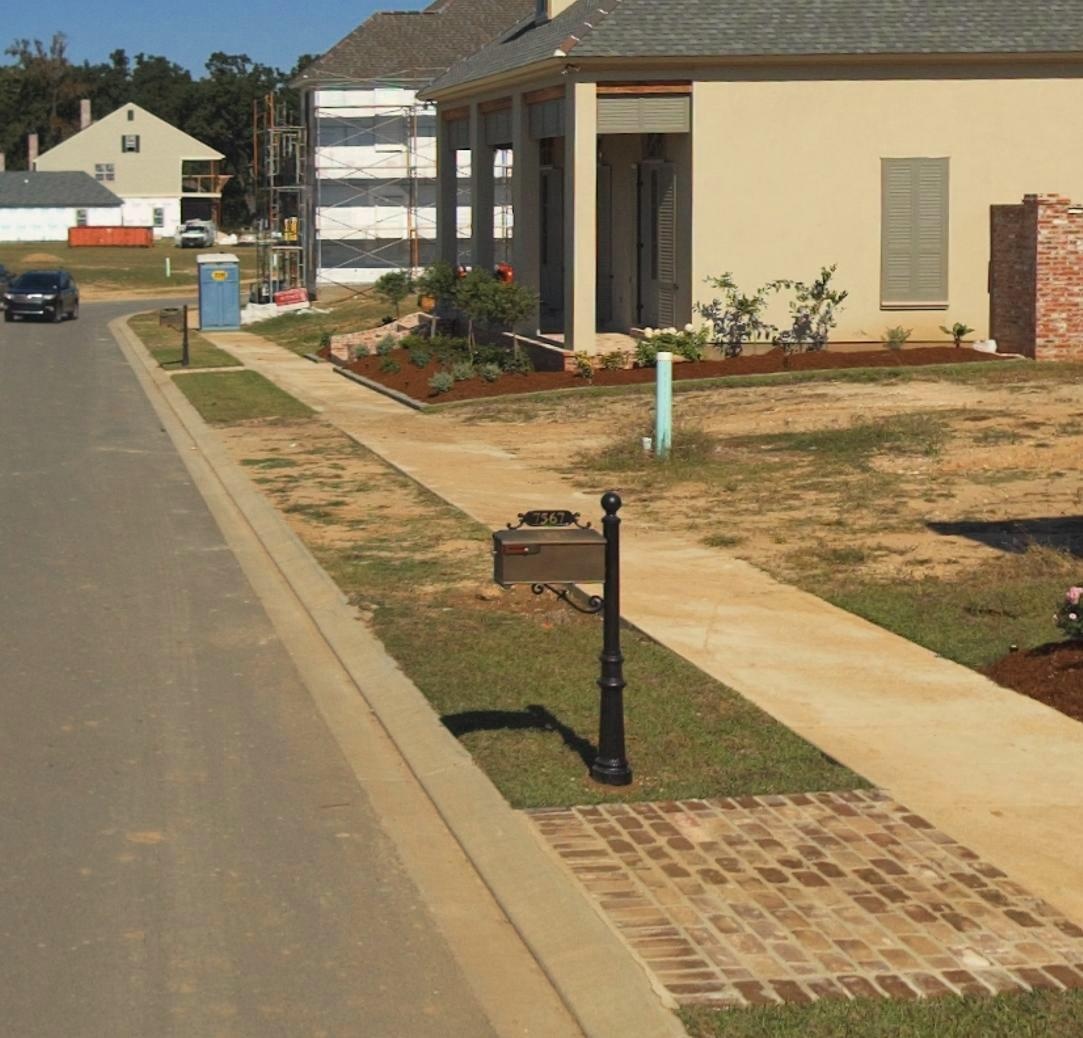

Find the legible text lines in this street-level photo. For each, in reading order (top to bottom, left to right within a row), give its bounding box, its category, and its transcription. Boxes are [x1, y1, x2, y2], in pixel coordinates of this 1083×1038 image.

[532, 512, 567, 525] StreetNumber: 7567